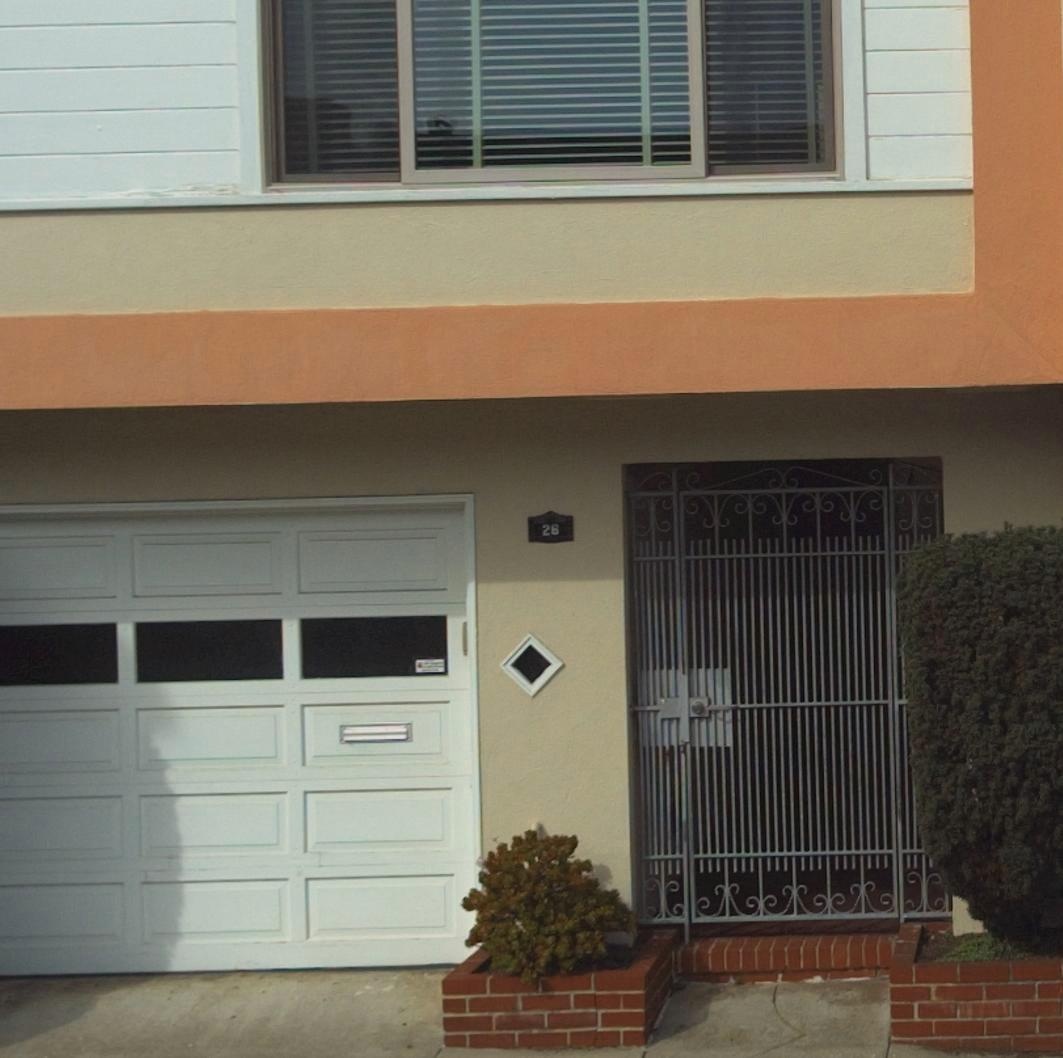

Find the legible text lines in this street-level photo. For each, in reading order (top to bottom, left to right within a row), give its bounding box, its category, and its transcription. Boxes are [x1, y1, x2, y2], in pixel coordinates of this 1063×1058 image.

[541, 522, 560, 537] StreetNumber: 28